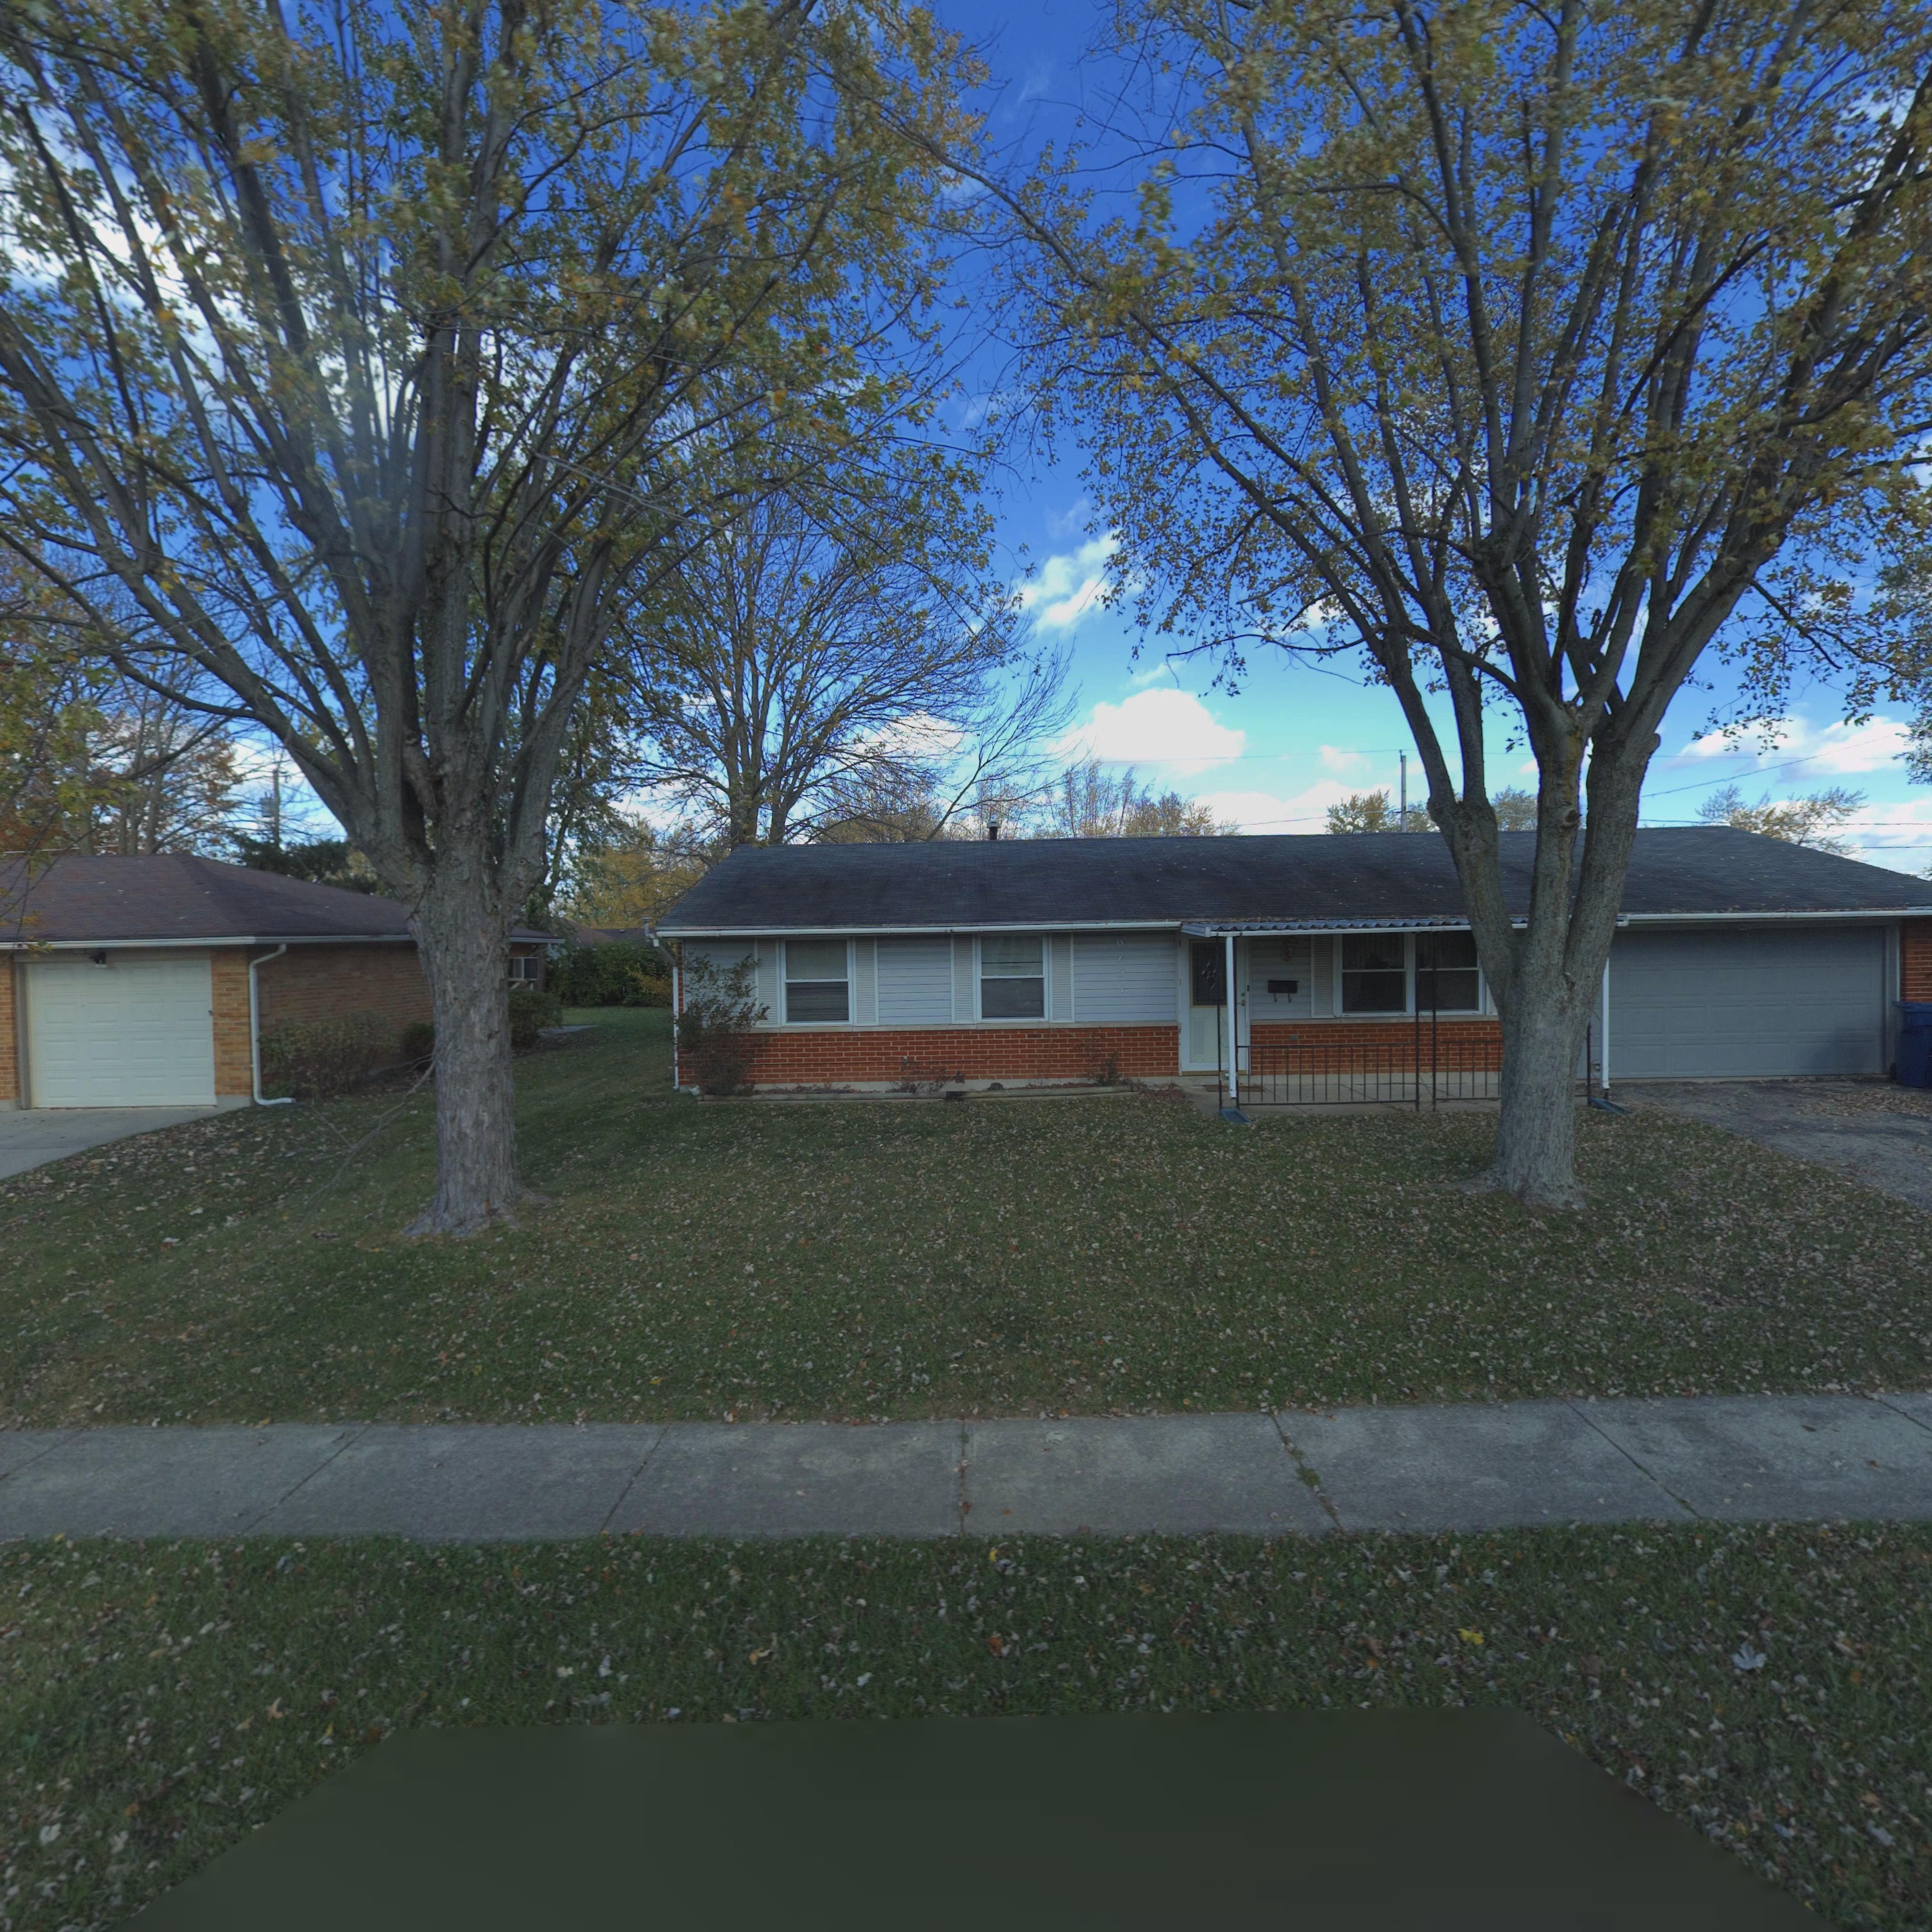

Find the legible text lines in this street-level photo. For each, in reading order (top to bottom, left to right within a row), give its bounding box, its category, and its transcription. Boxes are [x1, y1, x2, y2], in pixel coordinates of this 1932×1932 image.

[1116, 936, 1125, 995] StreetNumber: 6751